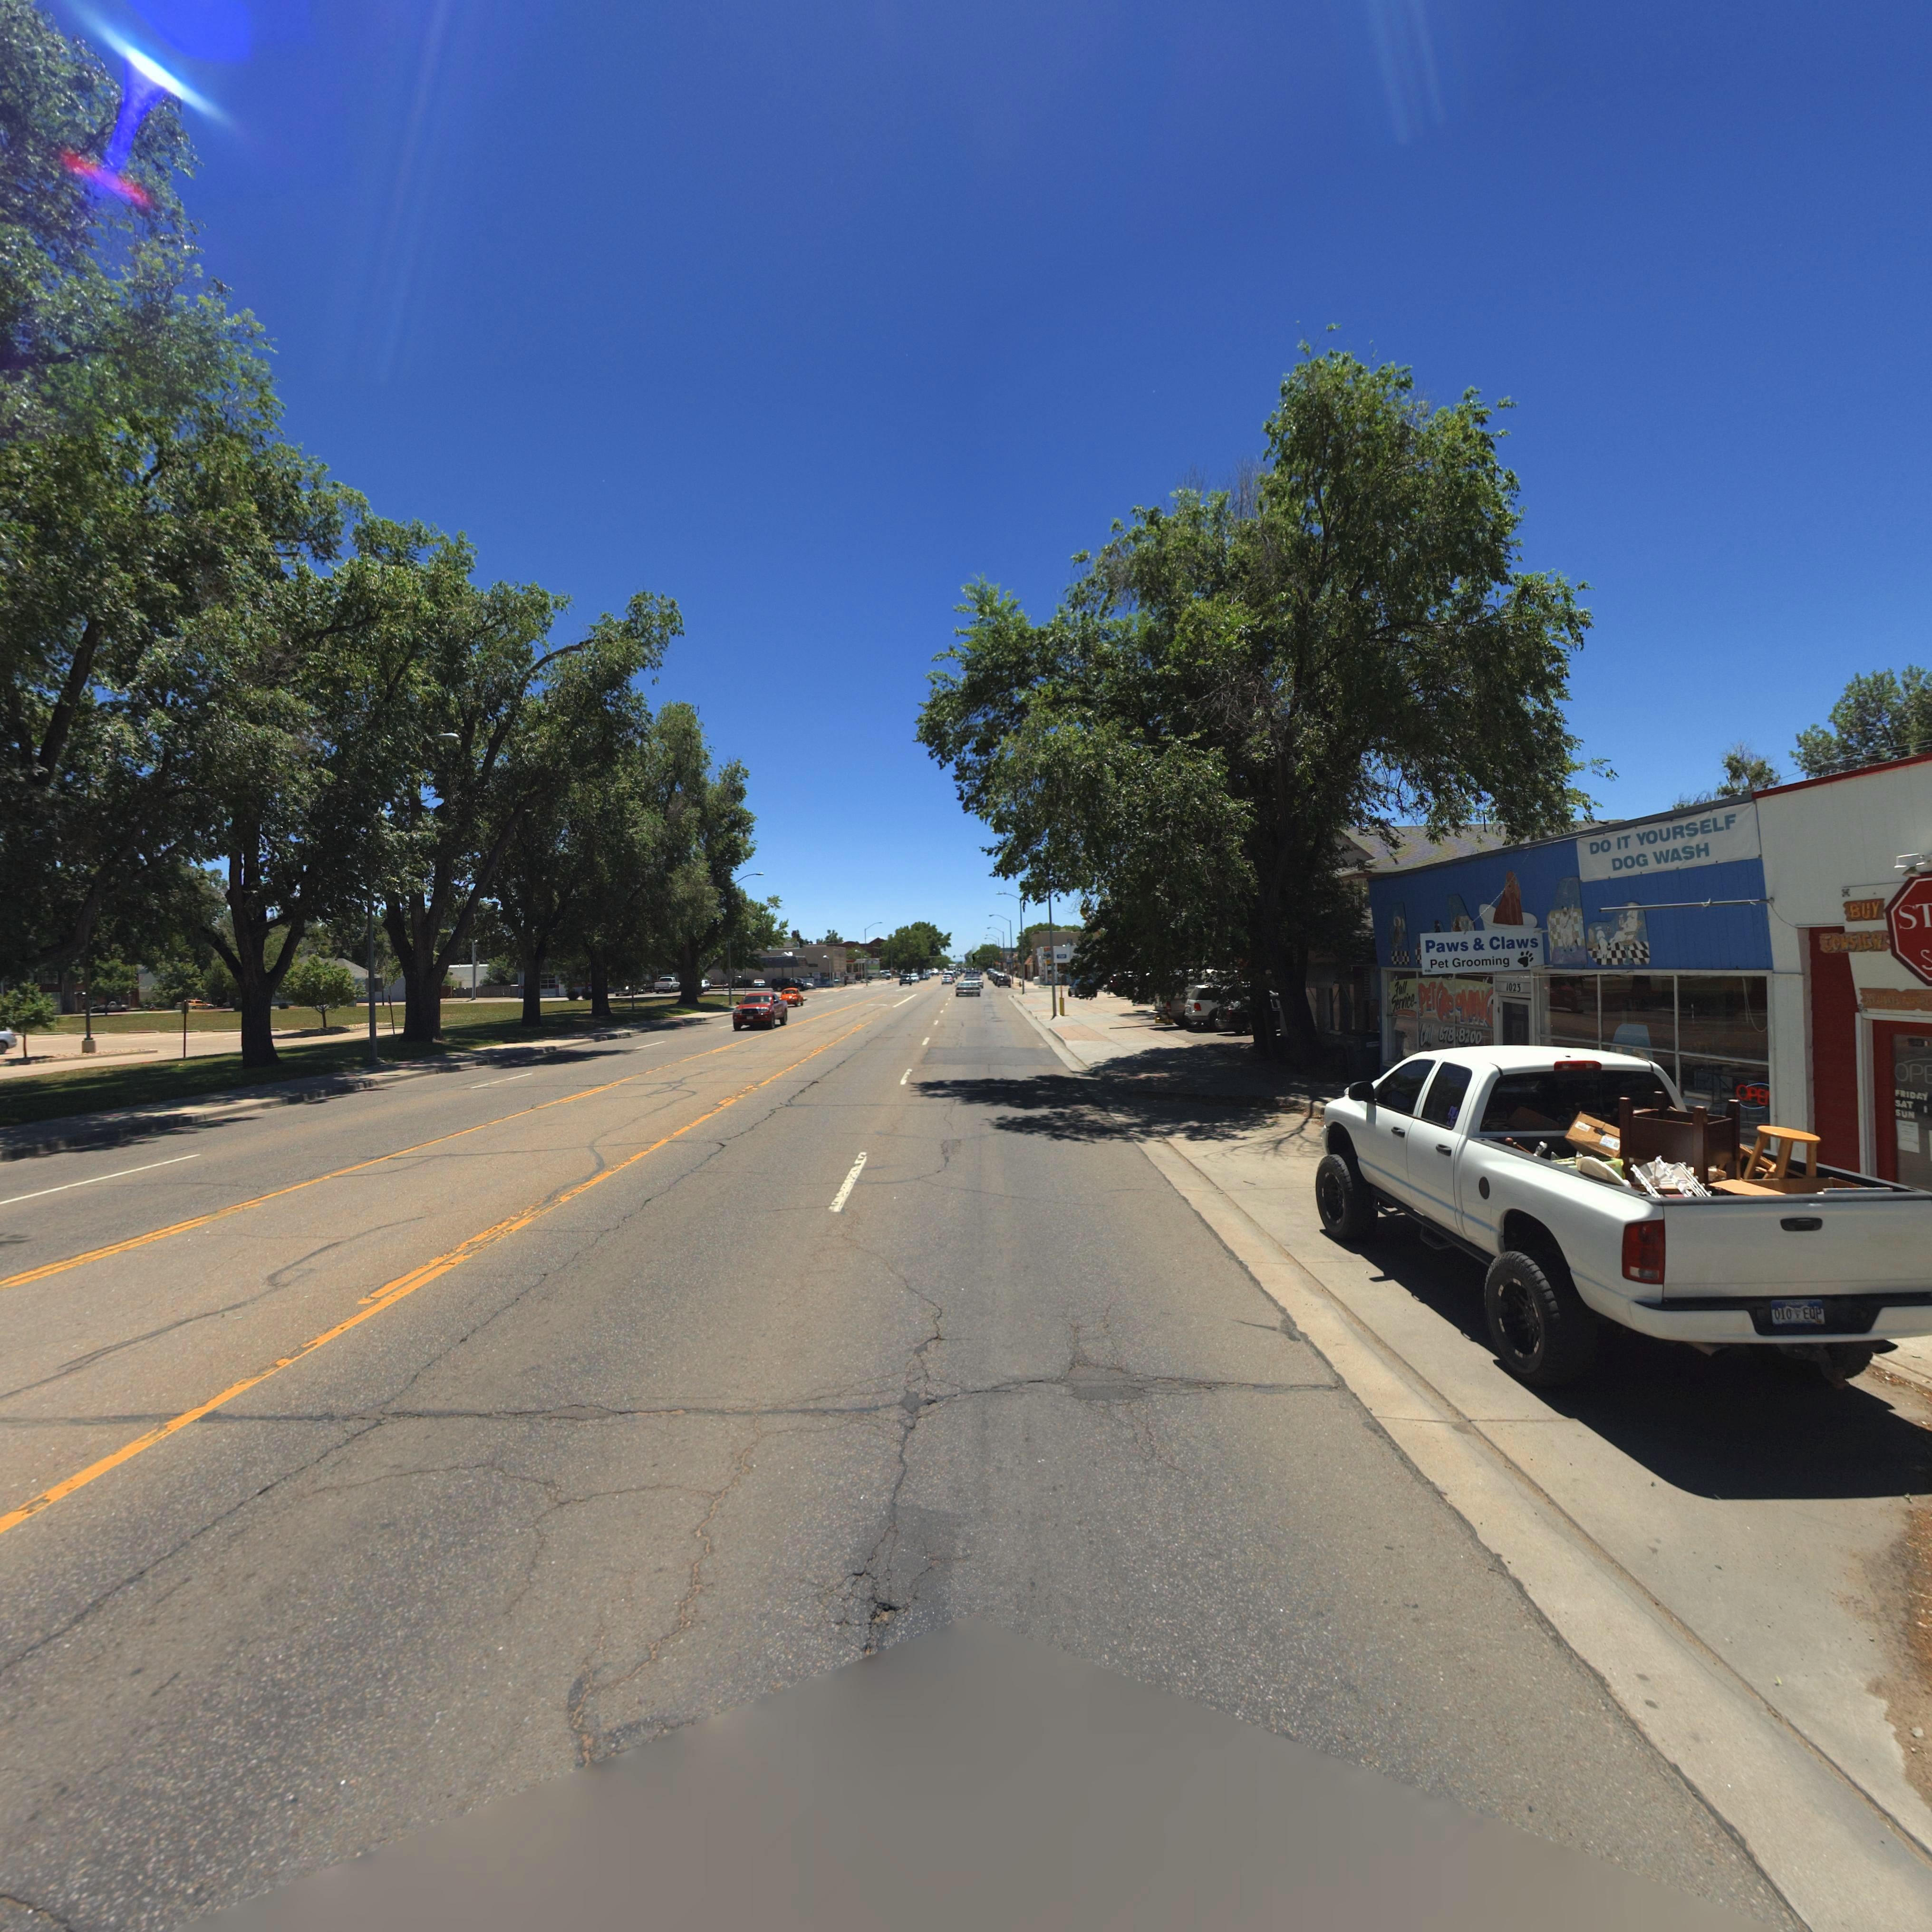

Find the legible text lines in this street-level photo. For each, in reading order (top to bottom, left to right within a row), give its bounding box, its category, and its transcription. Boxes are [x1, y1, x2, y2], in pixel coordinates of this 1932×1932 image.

[1898, 903, 1918, 931] BusinessName: S
[1425, 936, 1540, 954] BusinessName: Paws Claws
[1430, 956, 1510, 968] BusinessName: Pet Grooming
[1506, 983, 1521, 992] StreetNumber: 1023